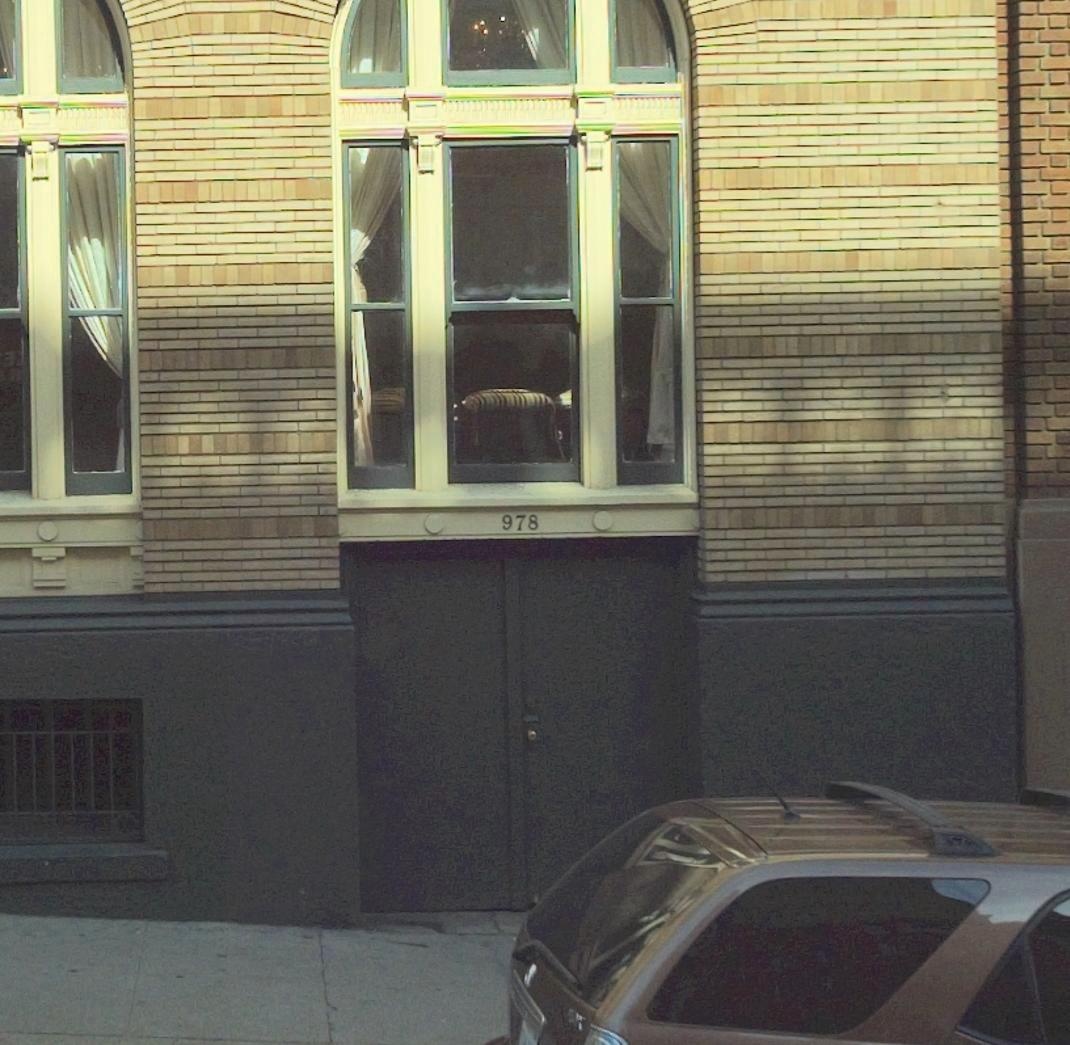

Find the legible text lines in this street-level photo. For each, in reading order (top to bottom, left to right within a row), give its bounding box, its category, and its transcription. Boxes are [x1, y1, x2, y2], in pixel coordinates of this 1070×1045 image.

[498, 511, 543, 536] StreetNumber: 978